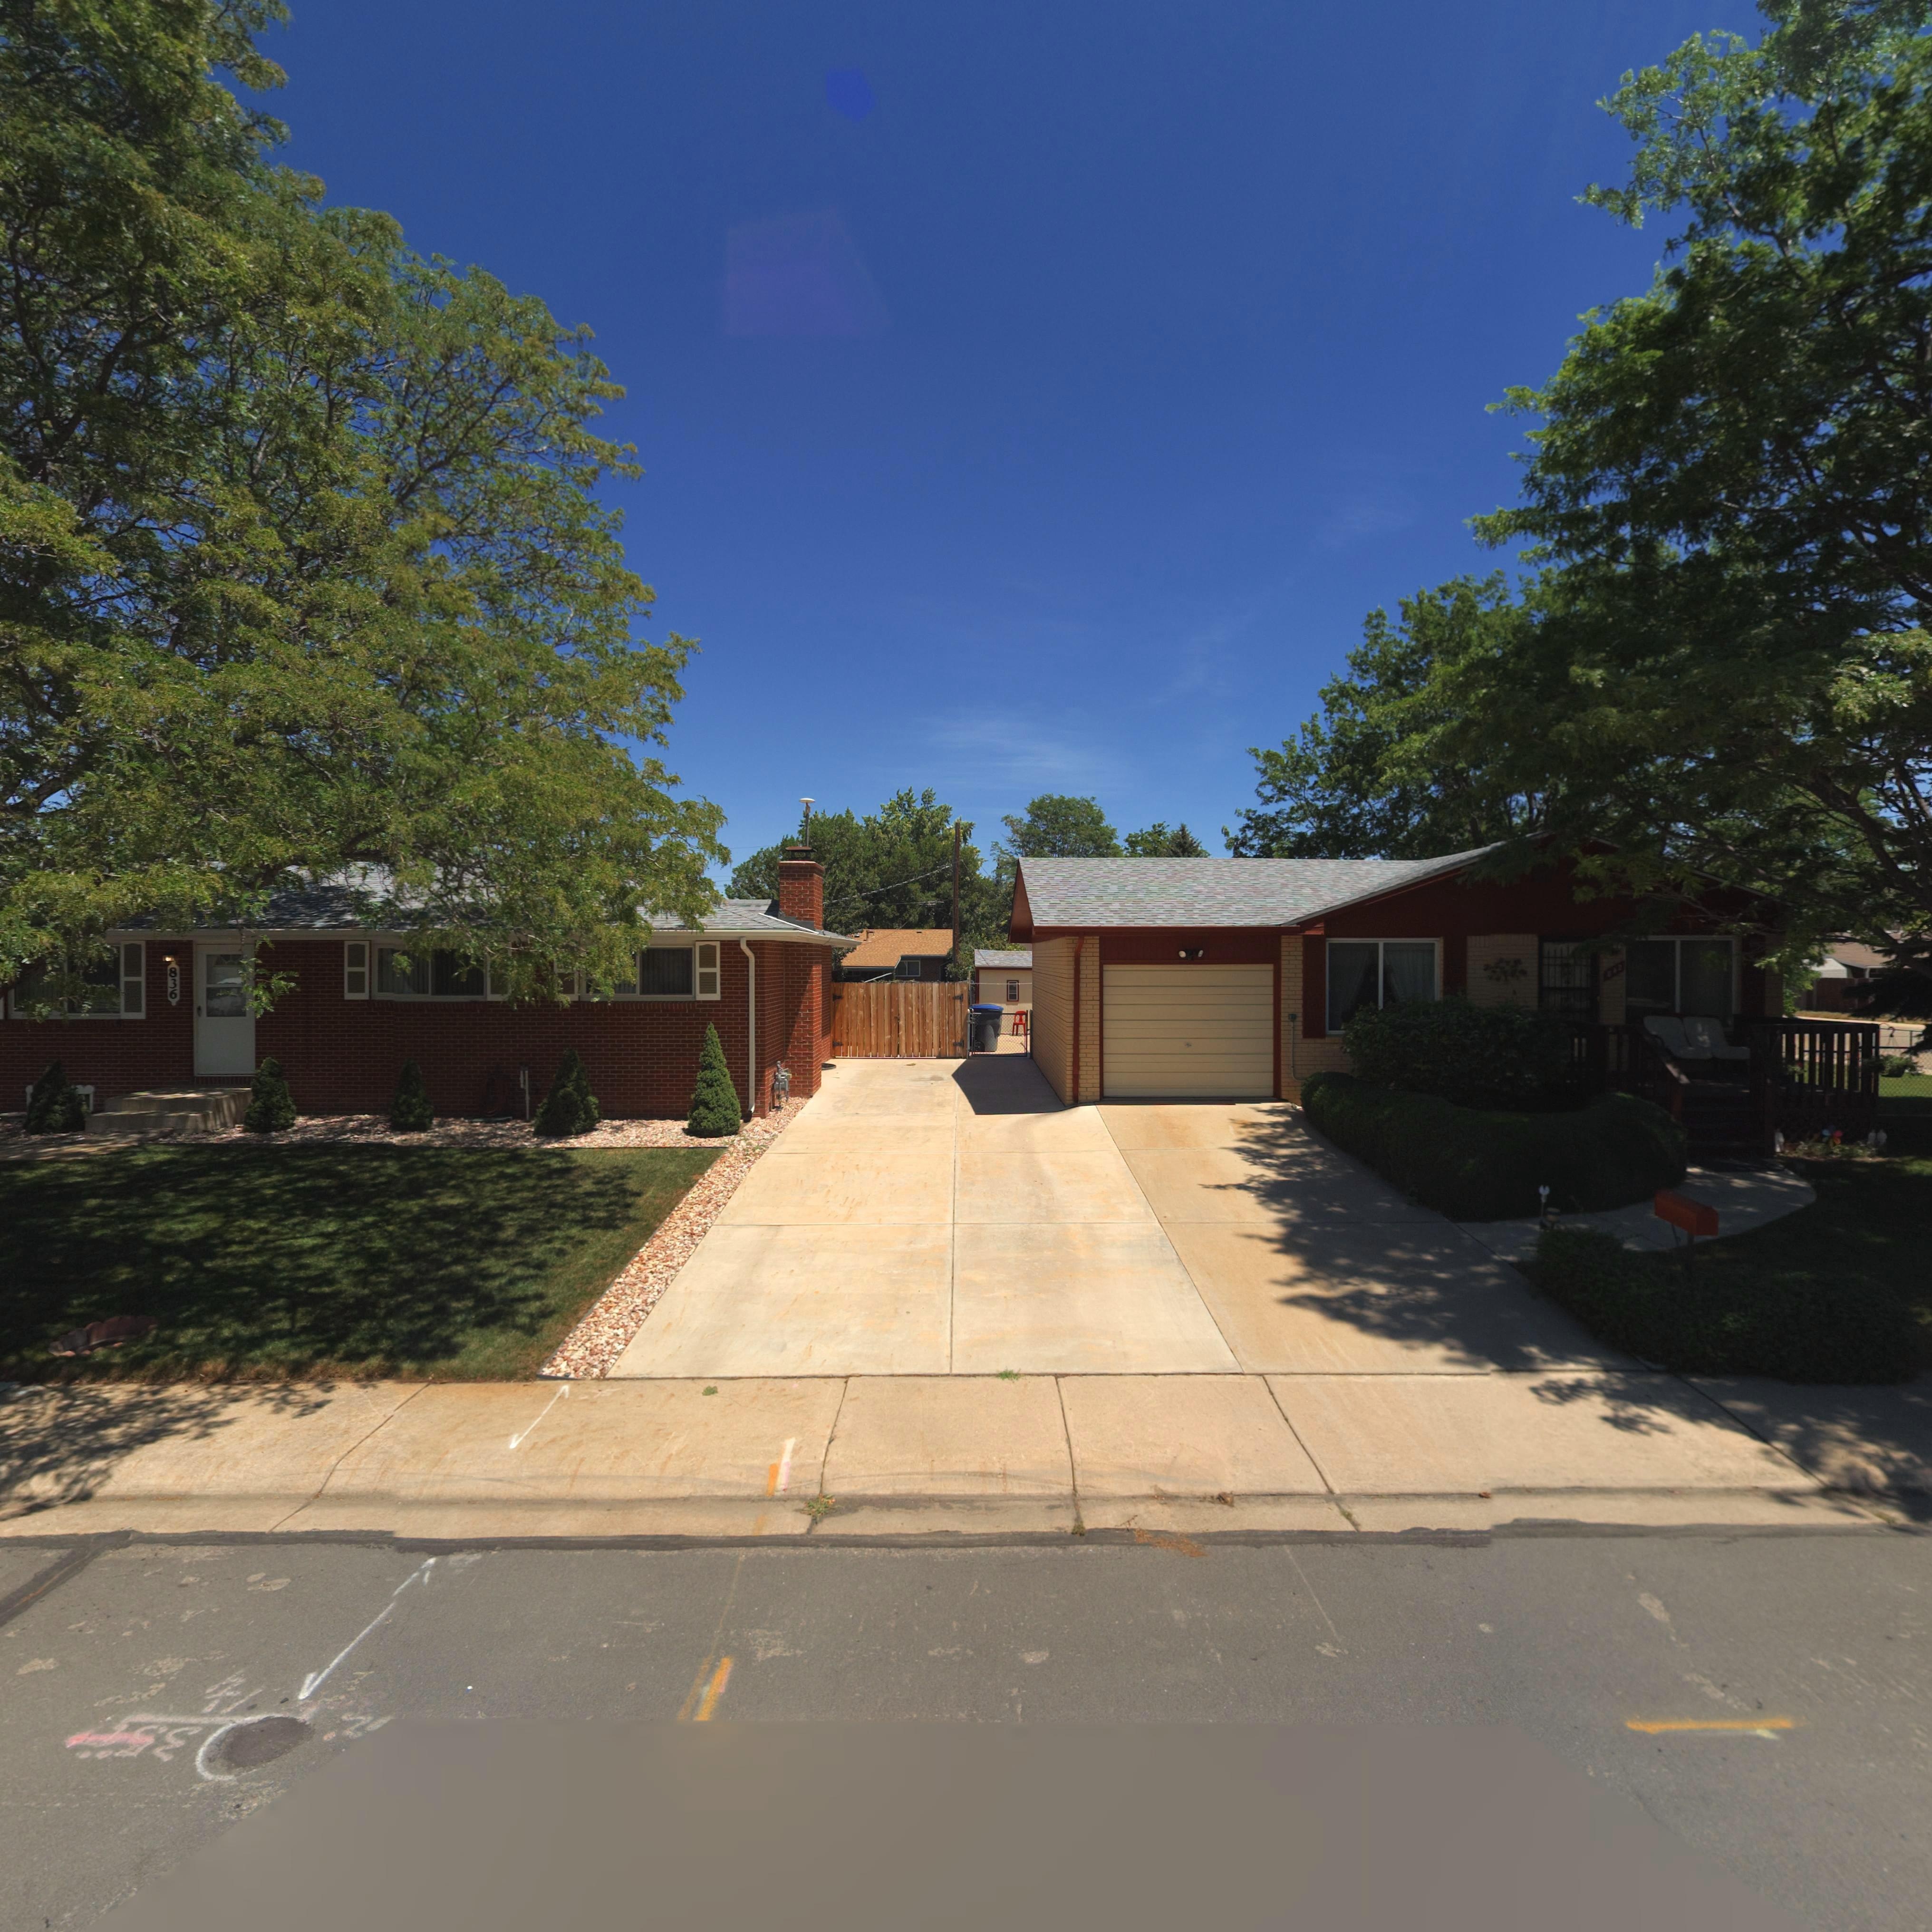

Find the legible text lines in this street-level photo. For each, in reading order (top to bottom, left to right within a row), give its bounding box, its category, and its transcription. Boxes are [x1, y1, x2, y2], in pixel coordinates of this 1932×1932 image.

[168, 967, 177, 999] StreetNumber: 836
[1607, 964, 1623, 977] StreetNumber: 84*